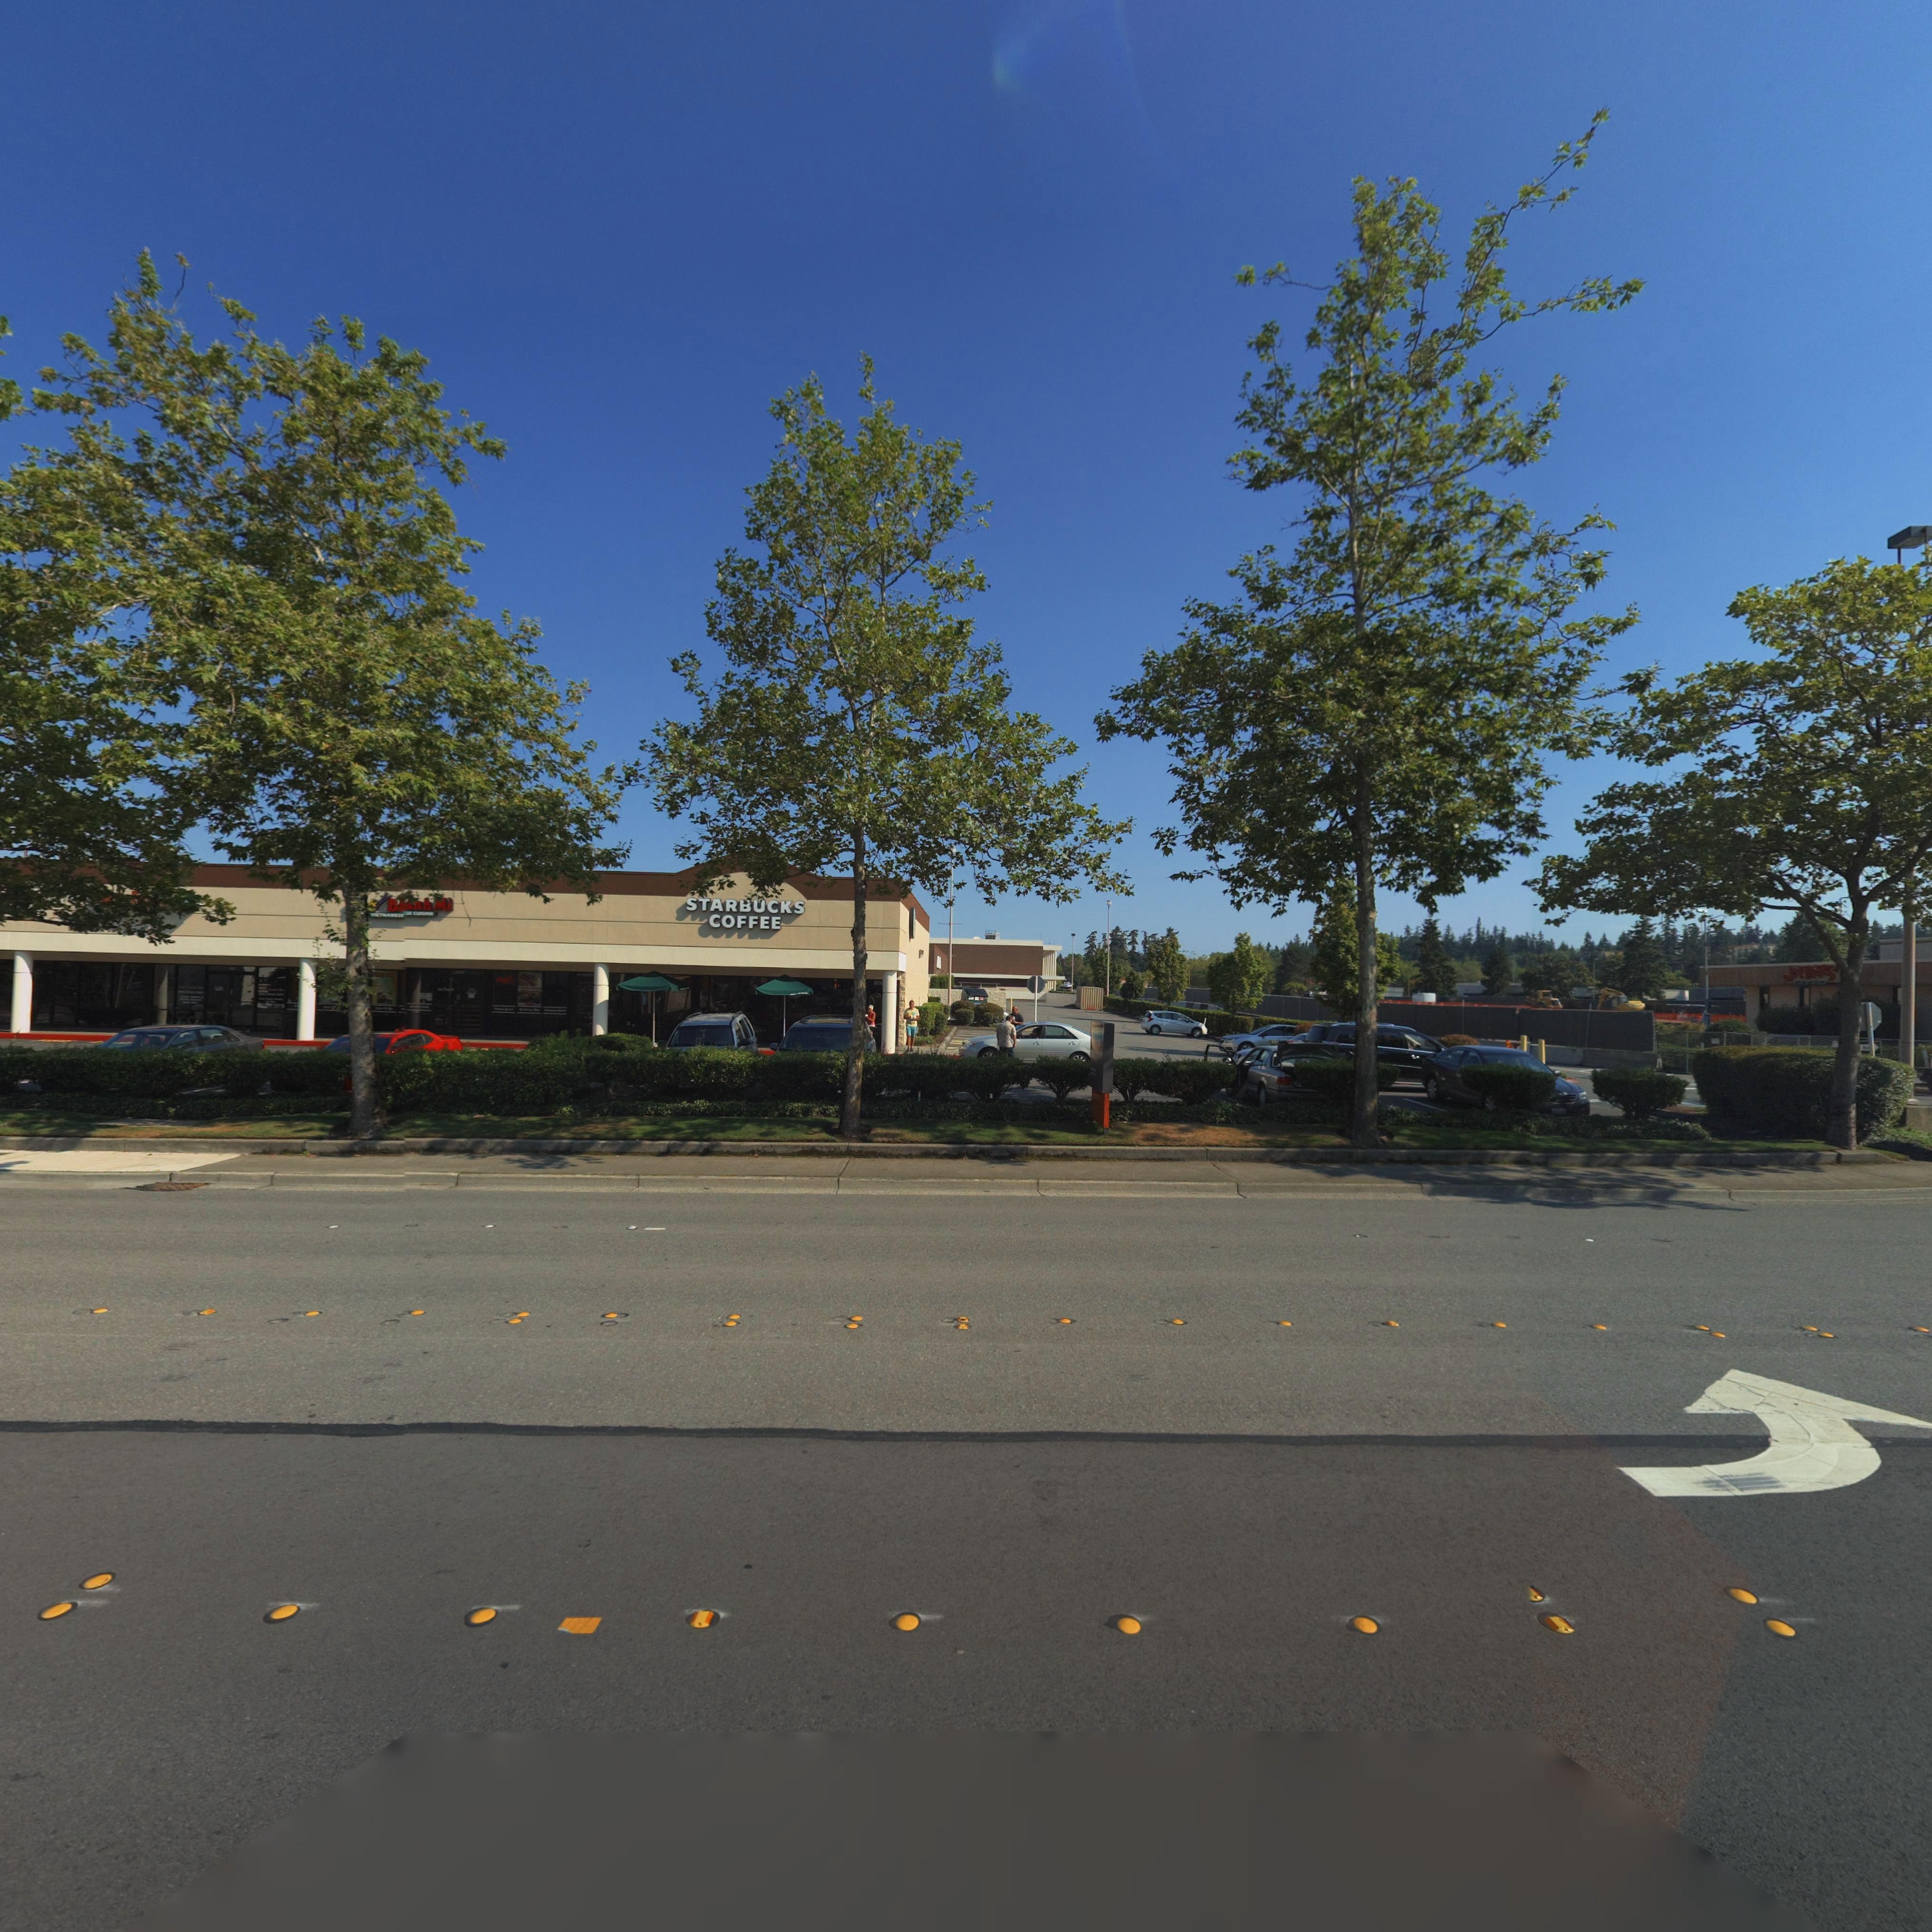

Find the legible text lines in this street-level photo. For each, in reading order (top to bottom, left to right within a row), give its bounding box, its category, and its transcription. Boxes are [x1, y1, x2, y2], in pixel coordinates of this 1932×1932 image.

[386, 896, 454, 912] BusinessName: Ba*nh Mi
[685, 897, 805, 915] BusinessName: STAR*UCKS
[369, 911, 434, 918] BusinessName: VIETNAMESE*SE CUISINE
[709, 914, 780, 929] BusinessName: COFFEE
[1782, 965, 1795, 983] BusinessName: J